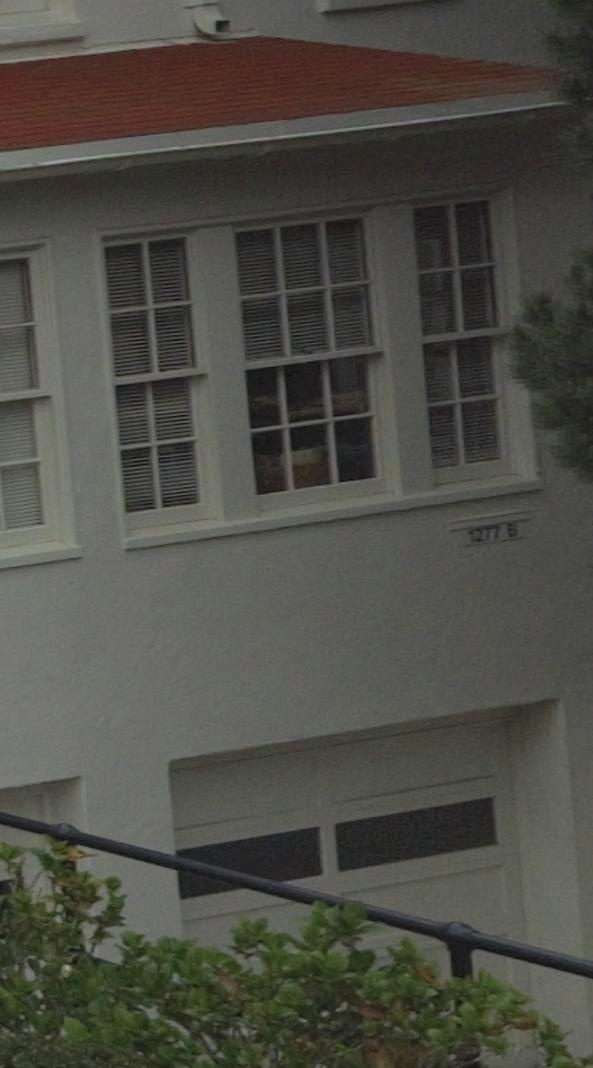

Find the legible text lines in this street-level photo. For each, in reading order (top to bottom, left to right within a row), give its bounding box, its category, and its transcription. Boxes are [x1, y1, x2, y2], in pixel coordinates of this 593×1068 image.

[466, 523, 502, 545] StreetNumber: 1277